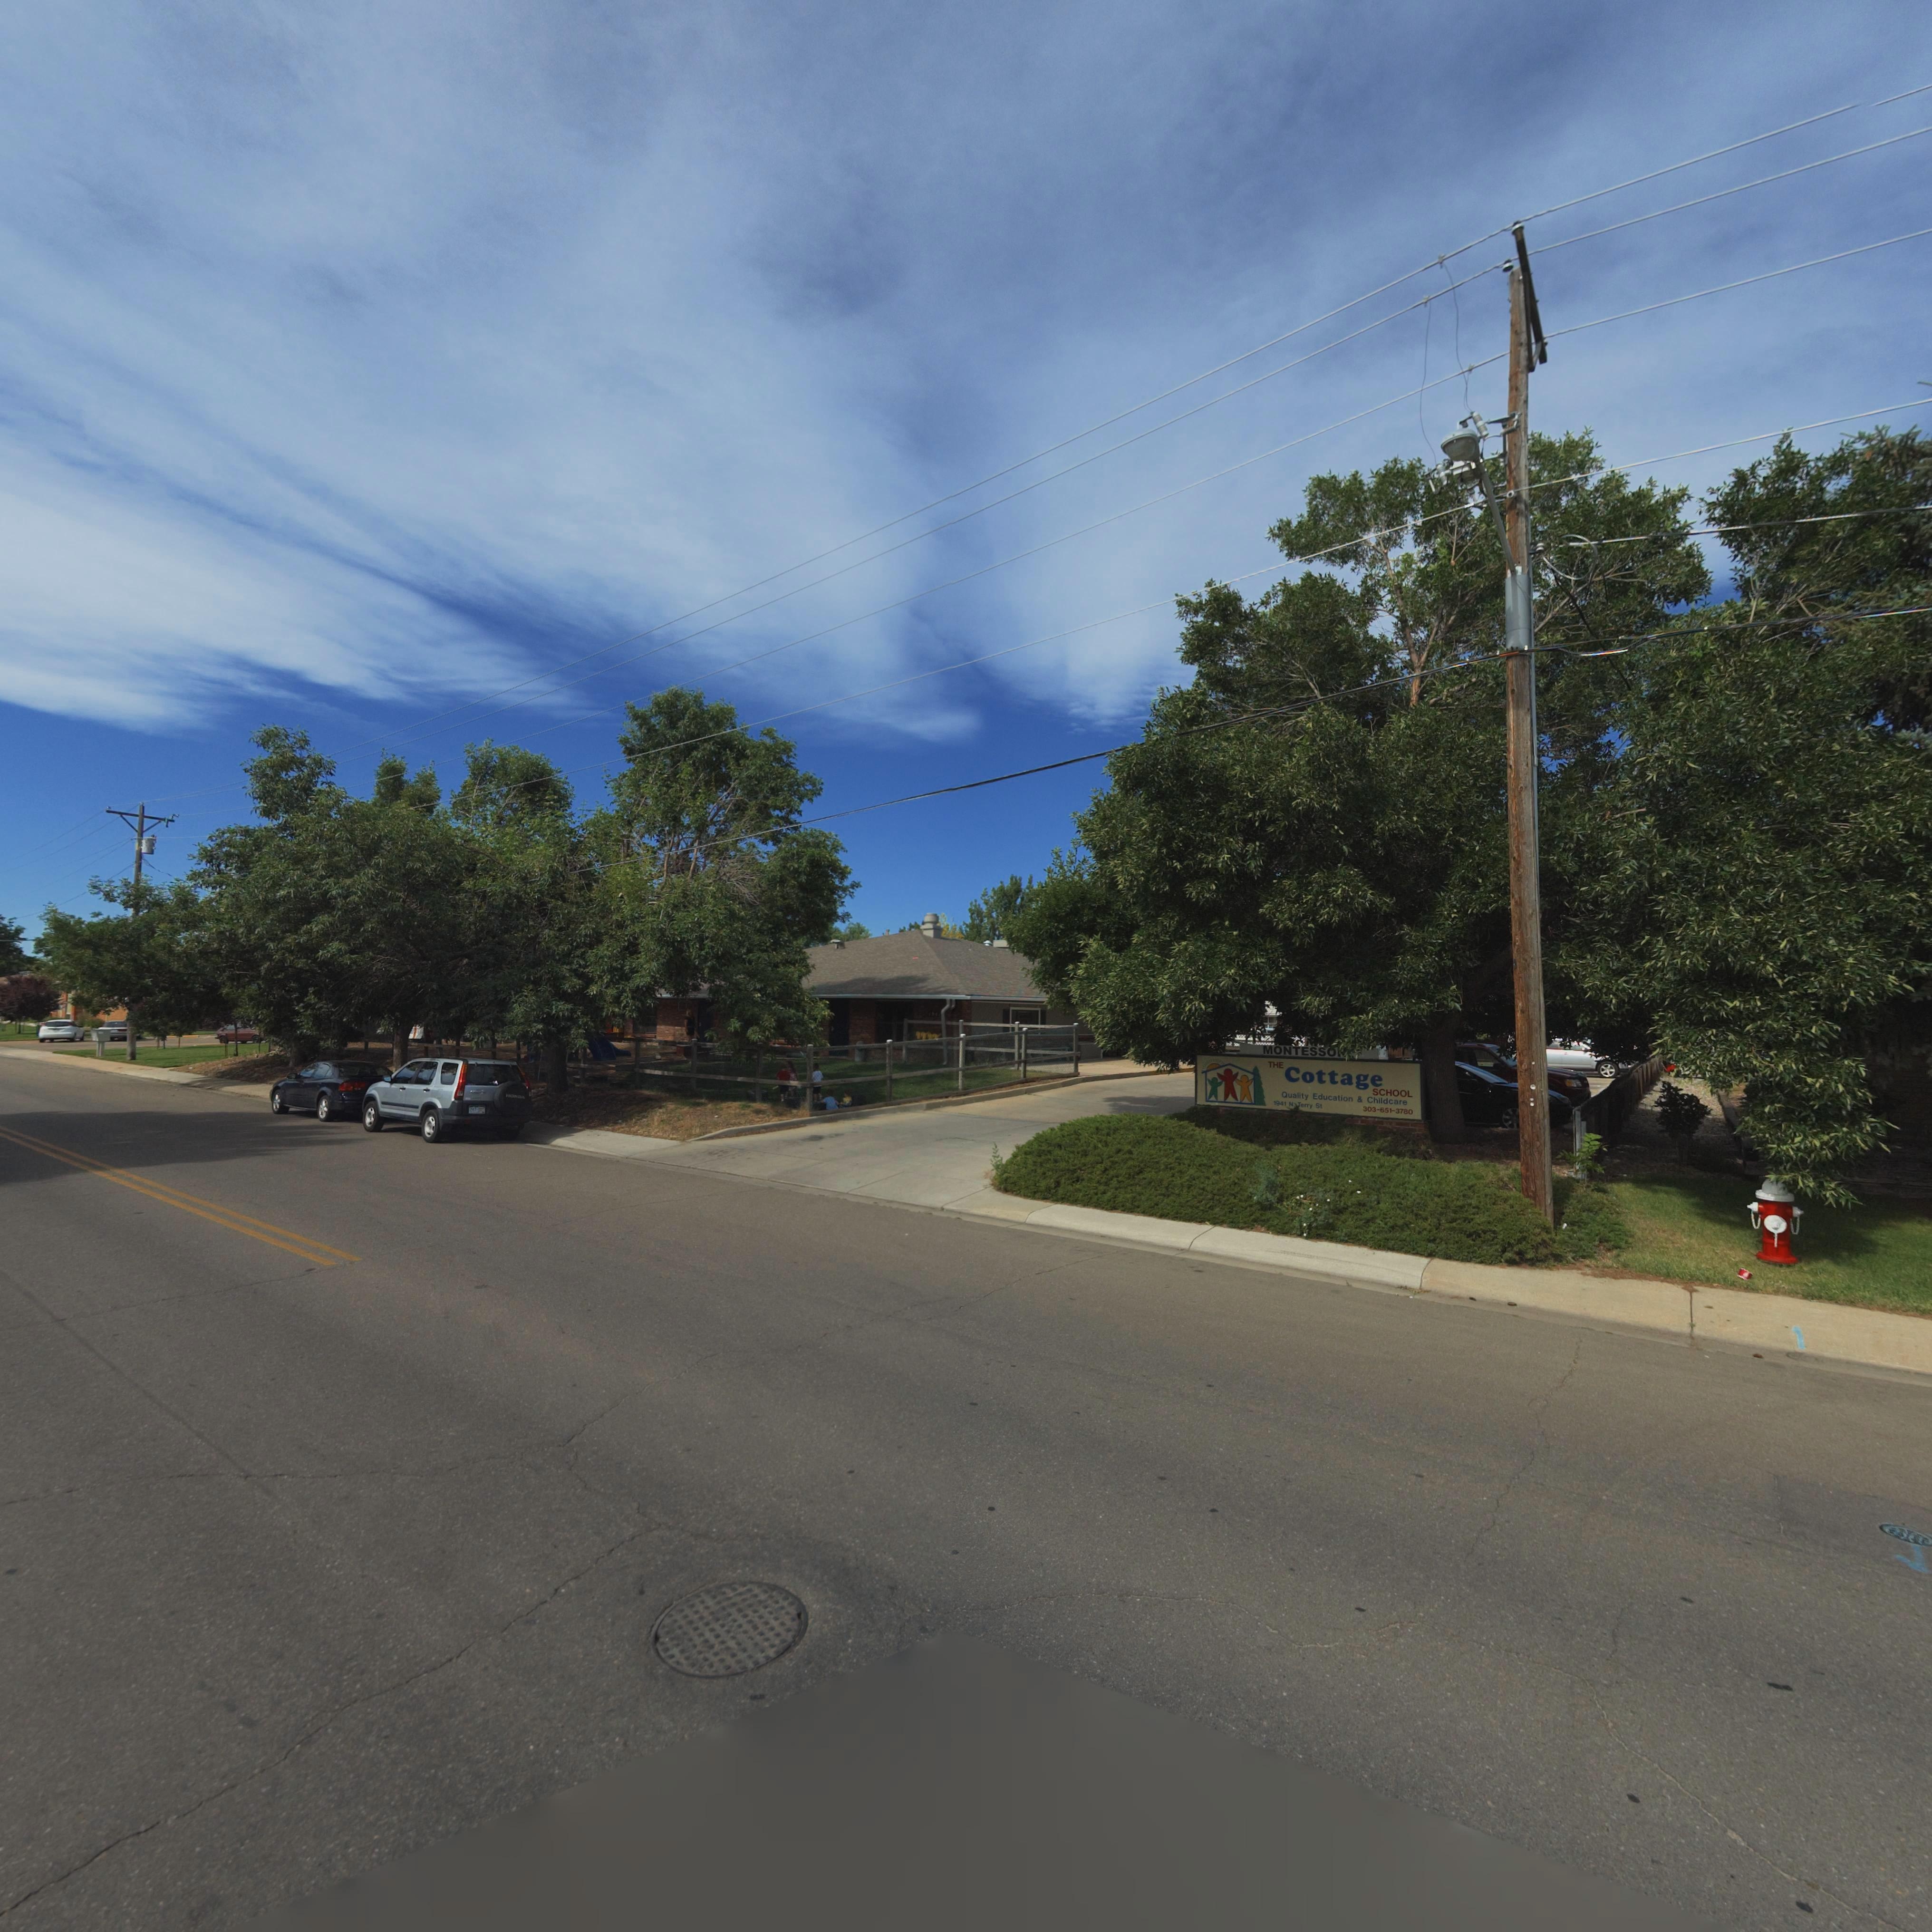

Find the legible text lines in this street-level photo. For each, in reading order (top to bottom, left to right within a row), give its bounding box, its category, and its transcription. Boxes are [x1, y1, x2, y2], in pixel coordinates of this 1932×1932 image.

[1267, 1061, 1284, 1068] BusinessName: THE
[1284, 1066, 1383, 1090] BusinessName: Cottage
[1372, 1088, 1413, 1097] BusinessName: SCHOOL
[1273, 1101, 1286, 1106] StreetNumber: 19*1
[1289, 1101, 1323, 1109] BusinessName: N Terry St